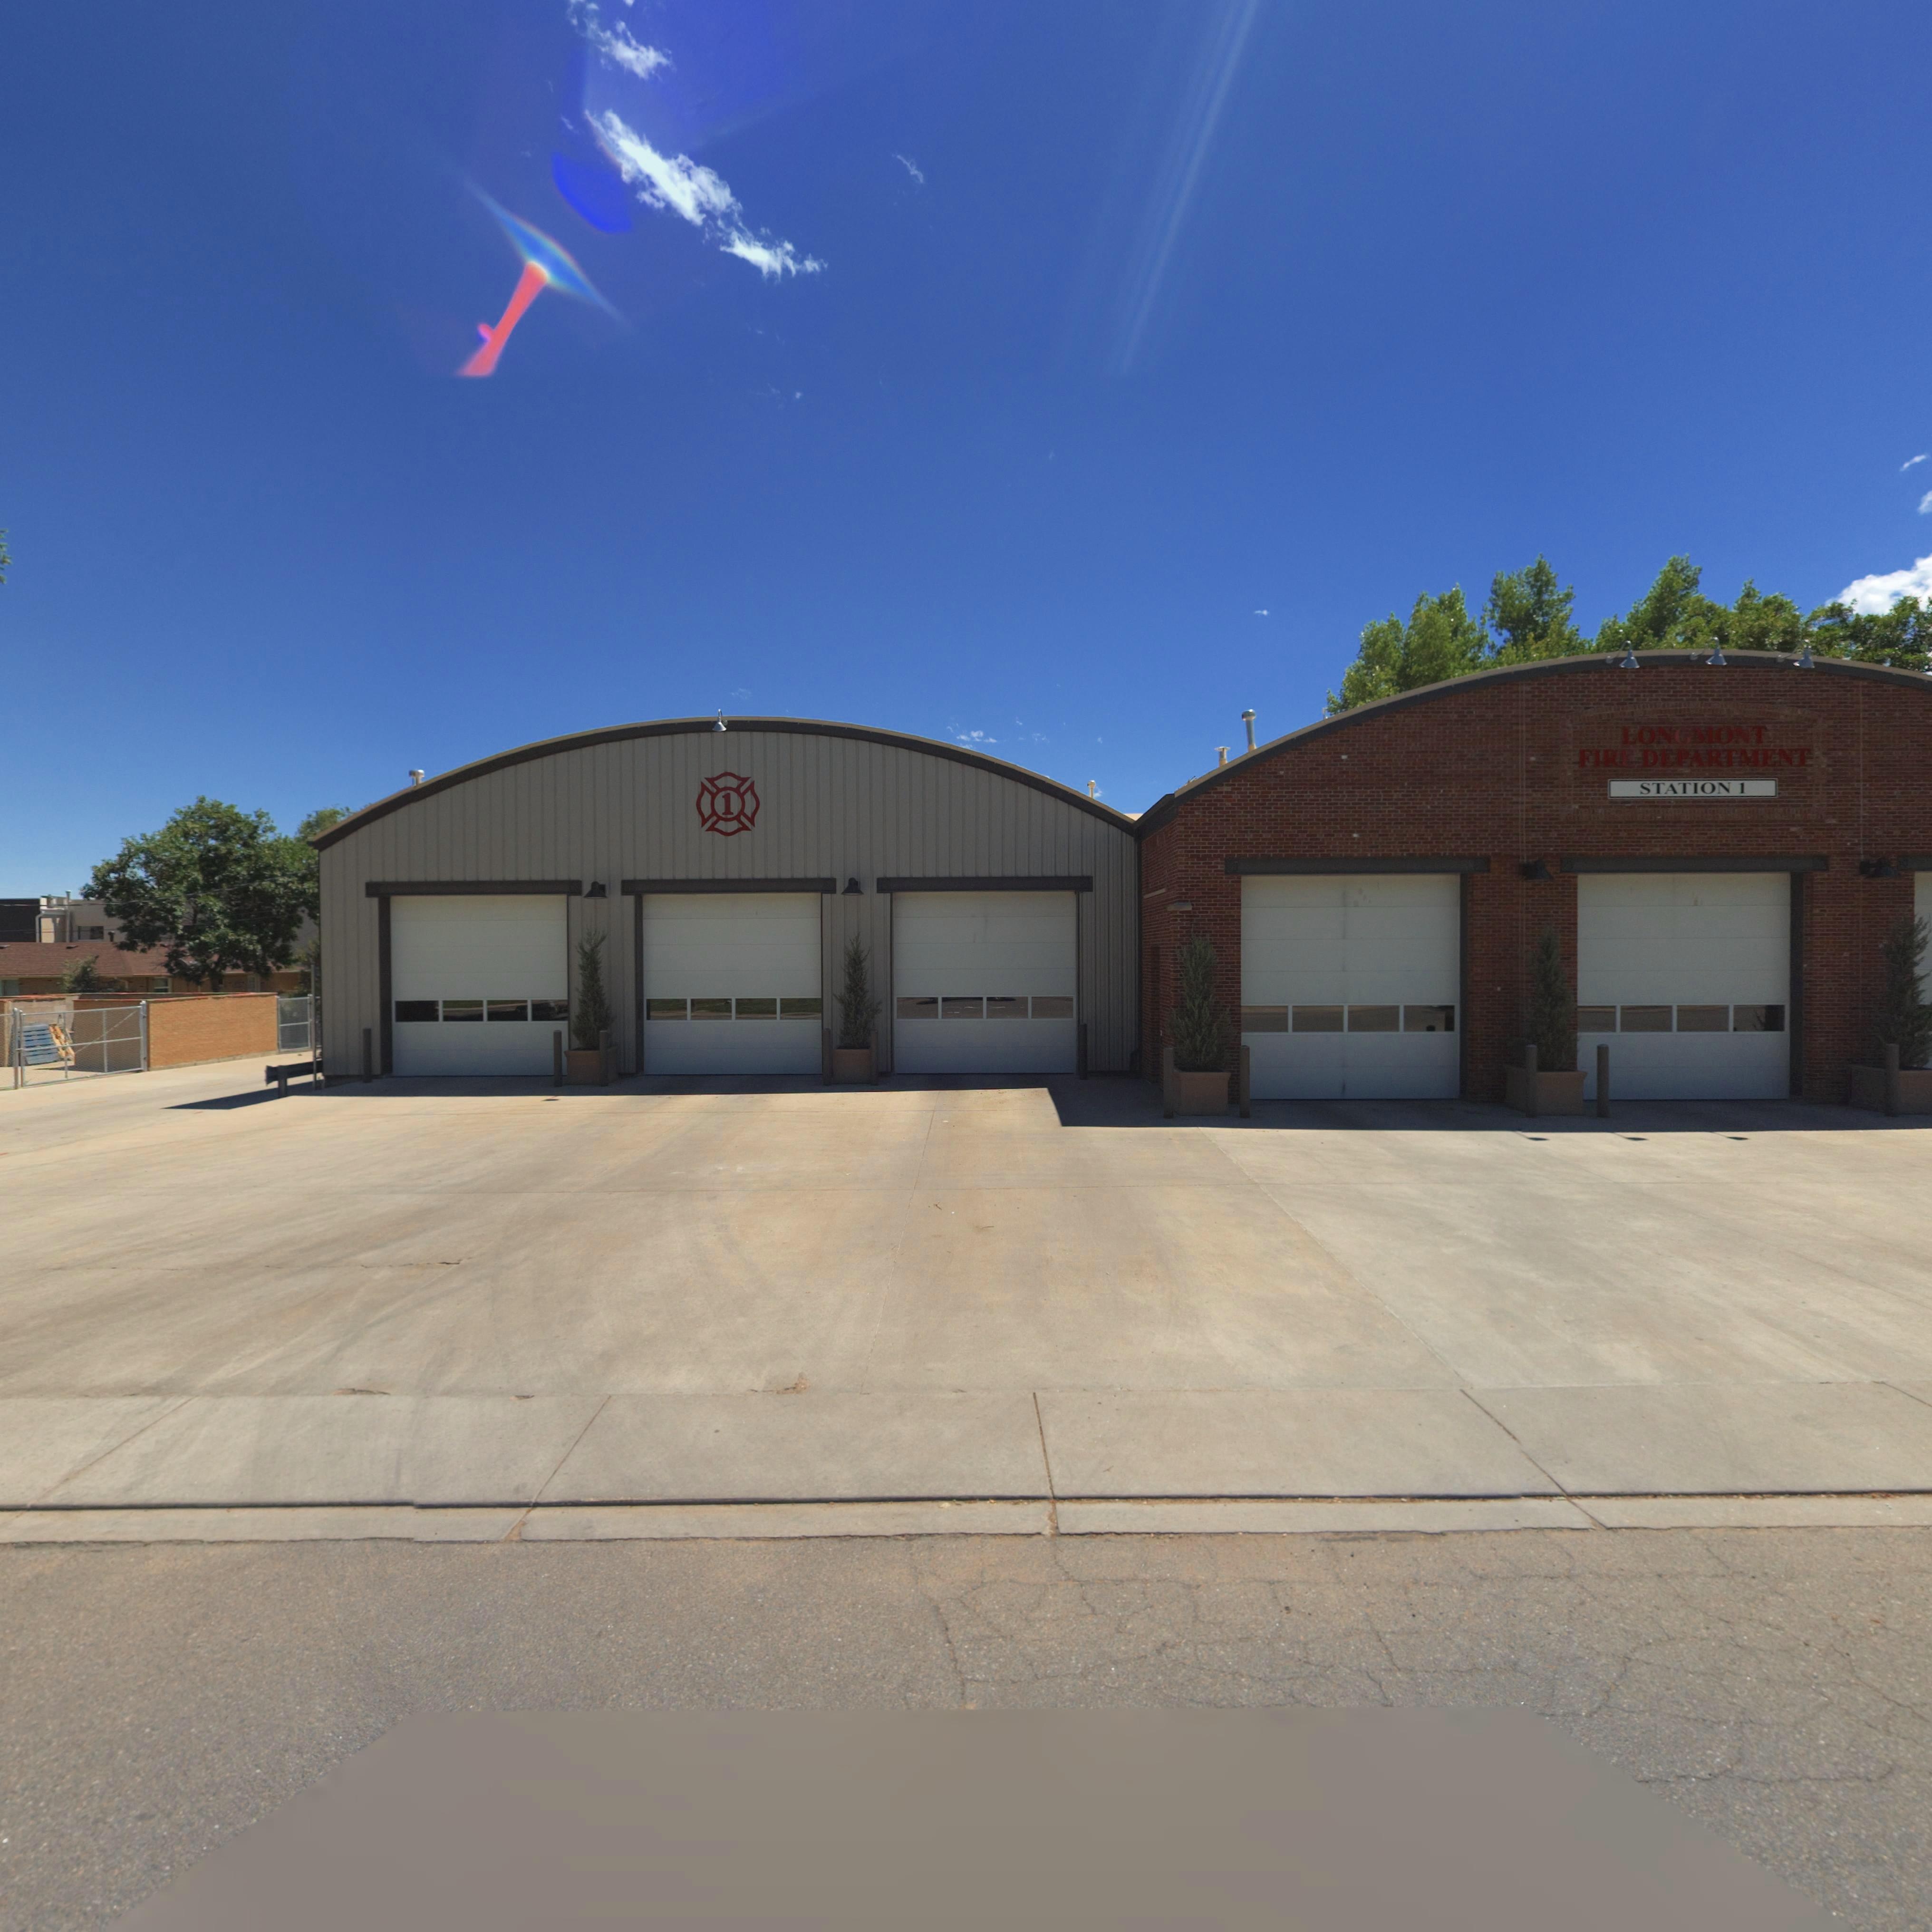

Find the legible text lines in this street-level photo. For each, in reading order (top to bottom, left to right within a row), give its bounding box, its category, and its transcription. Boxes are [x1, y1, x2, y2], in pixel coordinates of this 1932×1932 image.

[1621, 724, 1769, 745] BusinessName: LONGMONT
[1579, 747, 1814, 769] BusinessName: FIRE DEPARTMENT